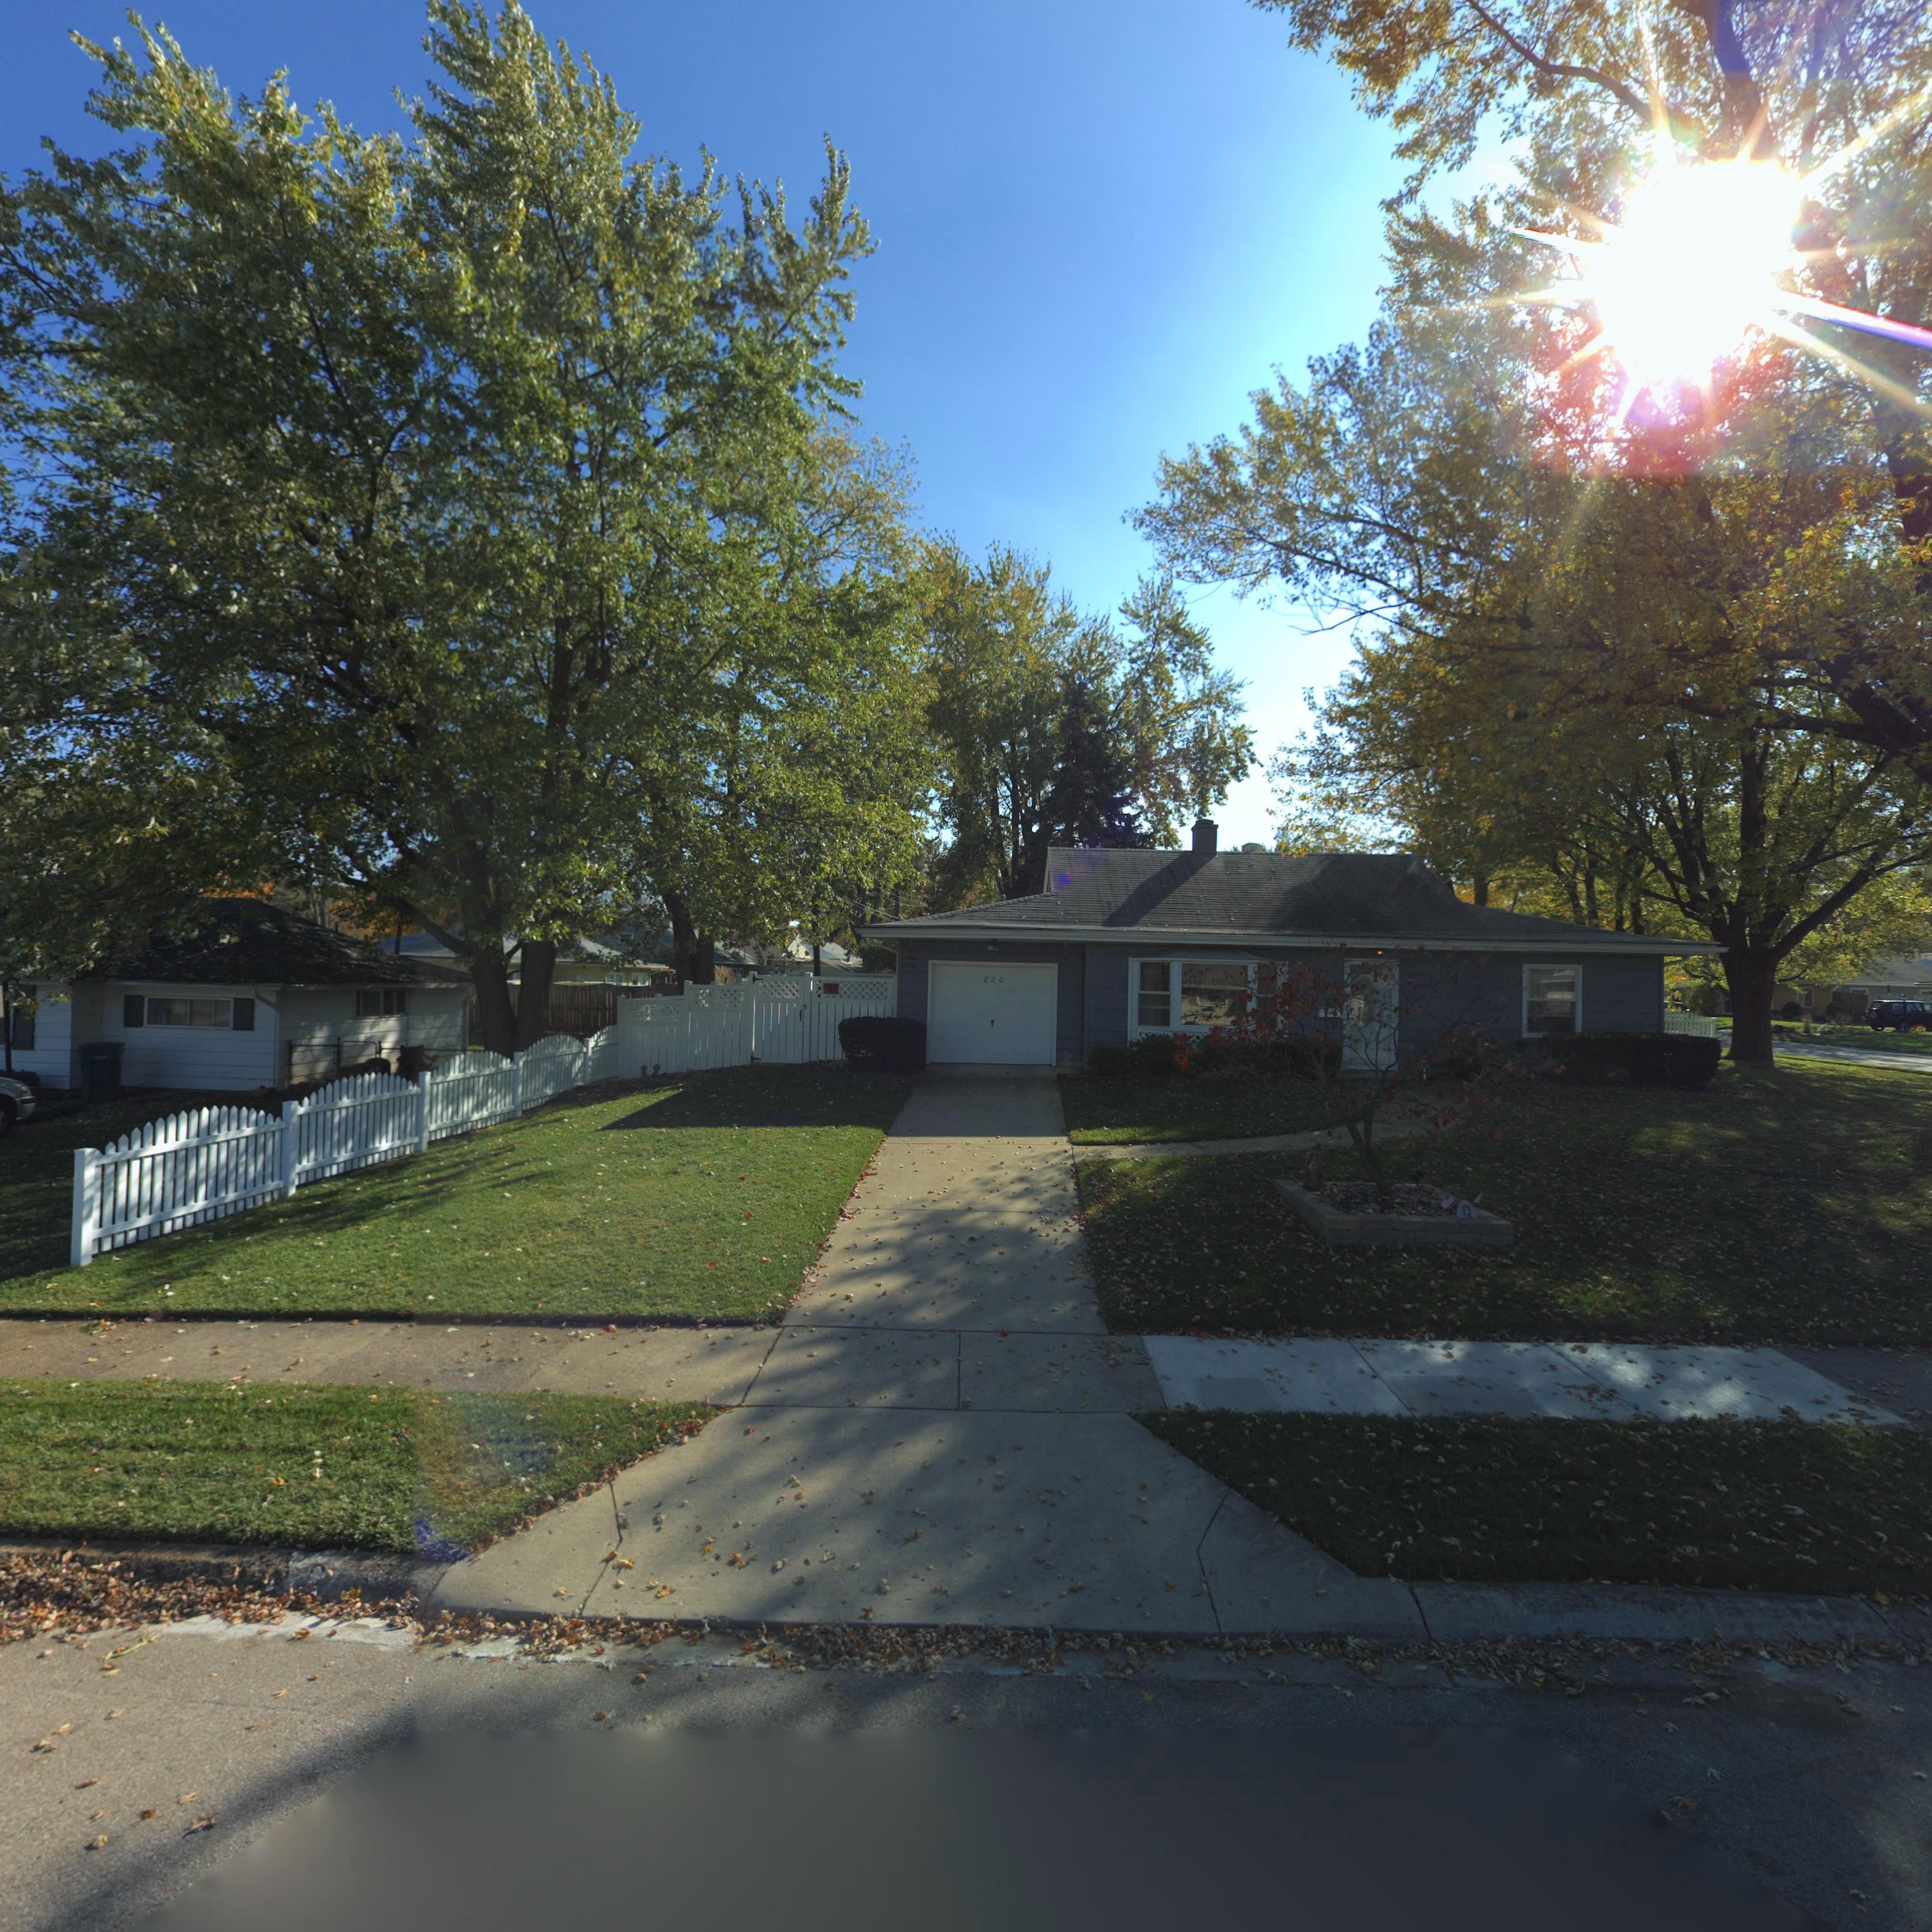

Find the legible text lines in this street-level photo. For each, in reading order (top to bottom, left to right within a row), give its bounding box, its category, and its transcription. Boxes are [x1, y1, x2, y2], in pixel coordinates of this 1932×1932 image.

[983, 976, 1004, 983] StreetNumber: 820